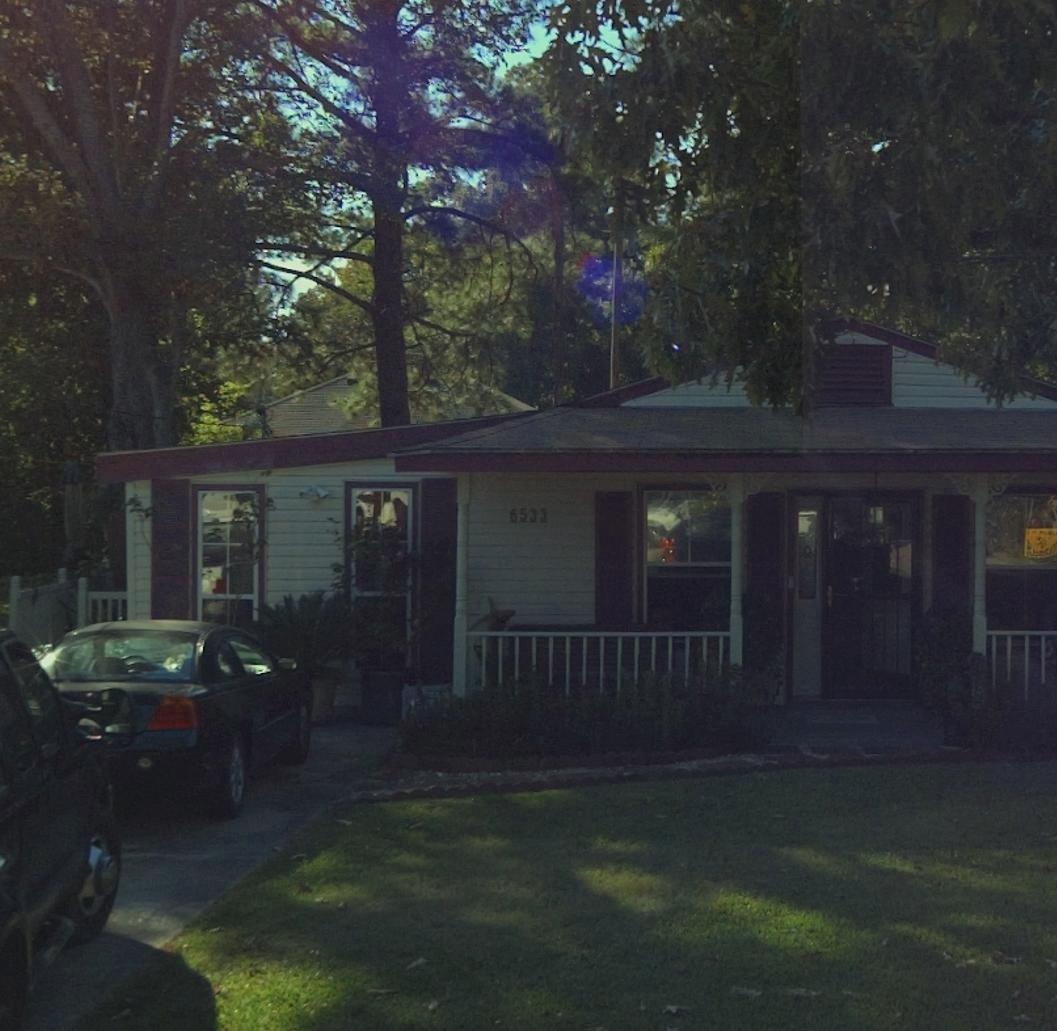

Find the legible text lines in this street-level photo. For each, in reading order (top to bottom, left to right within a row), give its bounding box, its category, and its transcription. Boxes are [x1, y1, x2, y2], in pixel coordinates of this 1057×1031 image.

[509, 506, 549, 524] StreetNumber: 6533